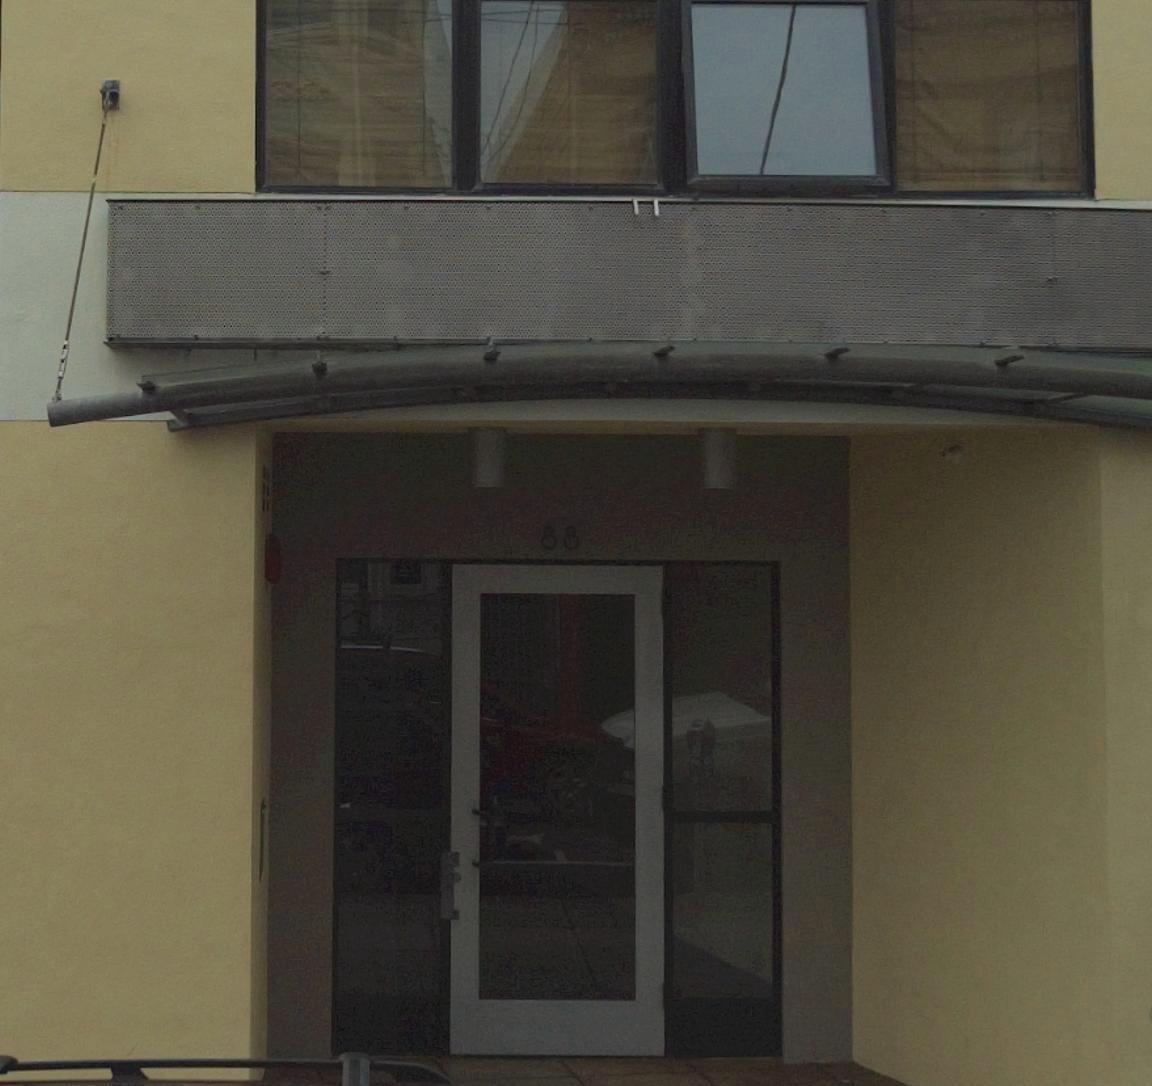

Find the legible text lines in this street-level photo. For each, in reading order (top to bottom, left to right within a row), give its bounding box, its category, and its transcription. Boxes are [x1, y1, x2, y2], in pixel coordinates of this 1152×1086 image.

[538, 523, 582, 552] StreetNumber: 88